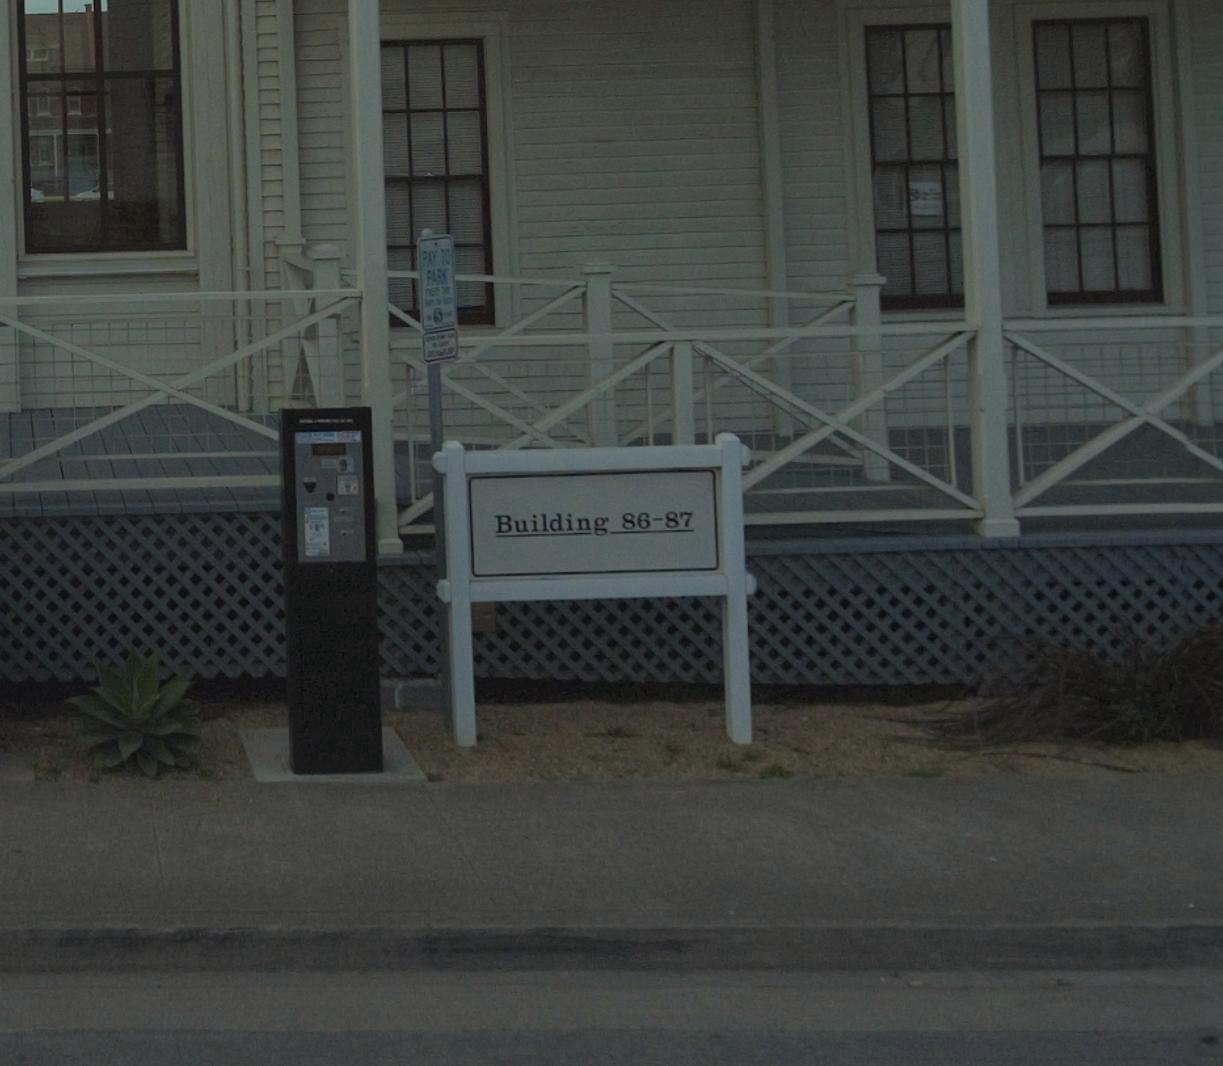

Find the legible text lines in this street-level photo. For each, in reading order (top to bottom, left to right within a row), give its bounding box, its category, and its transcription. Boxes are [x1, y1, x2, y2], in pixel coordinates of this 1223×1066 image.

[420, 246, 451, 268] None: PAY TO
[425, 267, 449, 288] None: PARK
[433, 308, 444, 323] None: 5
[492, 512, 608, 536] None: Building
[620, 510, 651, 531] StreetNumber: 86
[663, 511, 693, 530] StreetNumber: 87